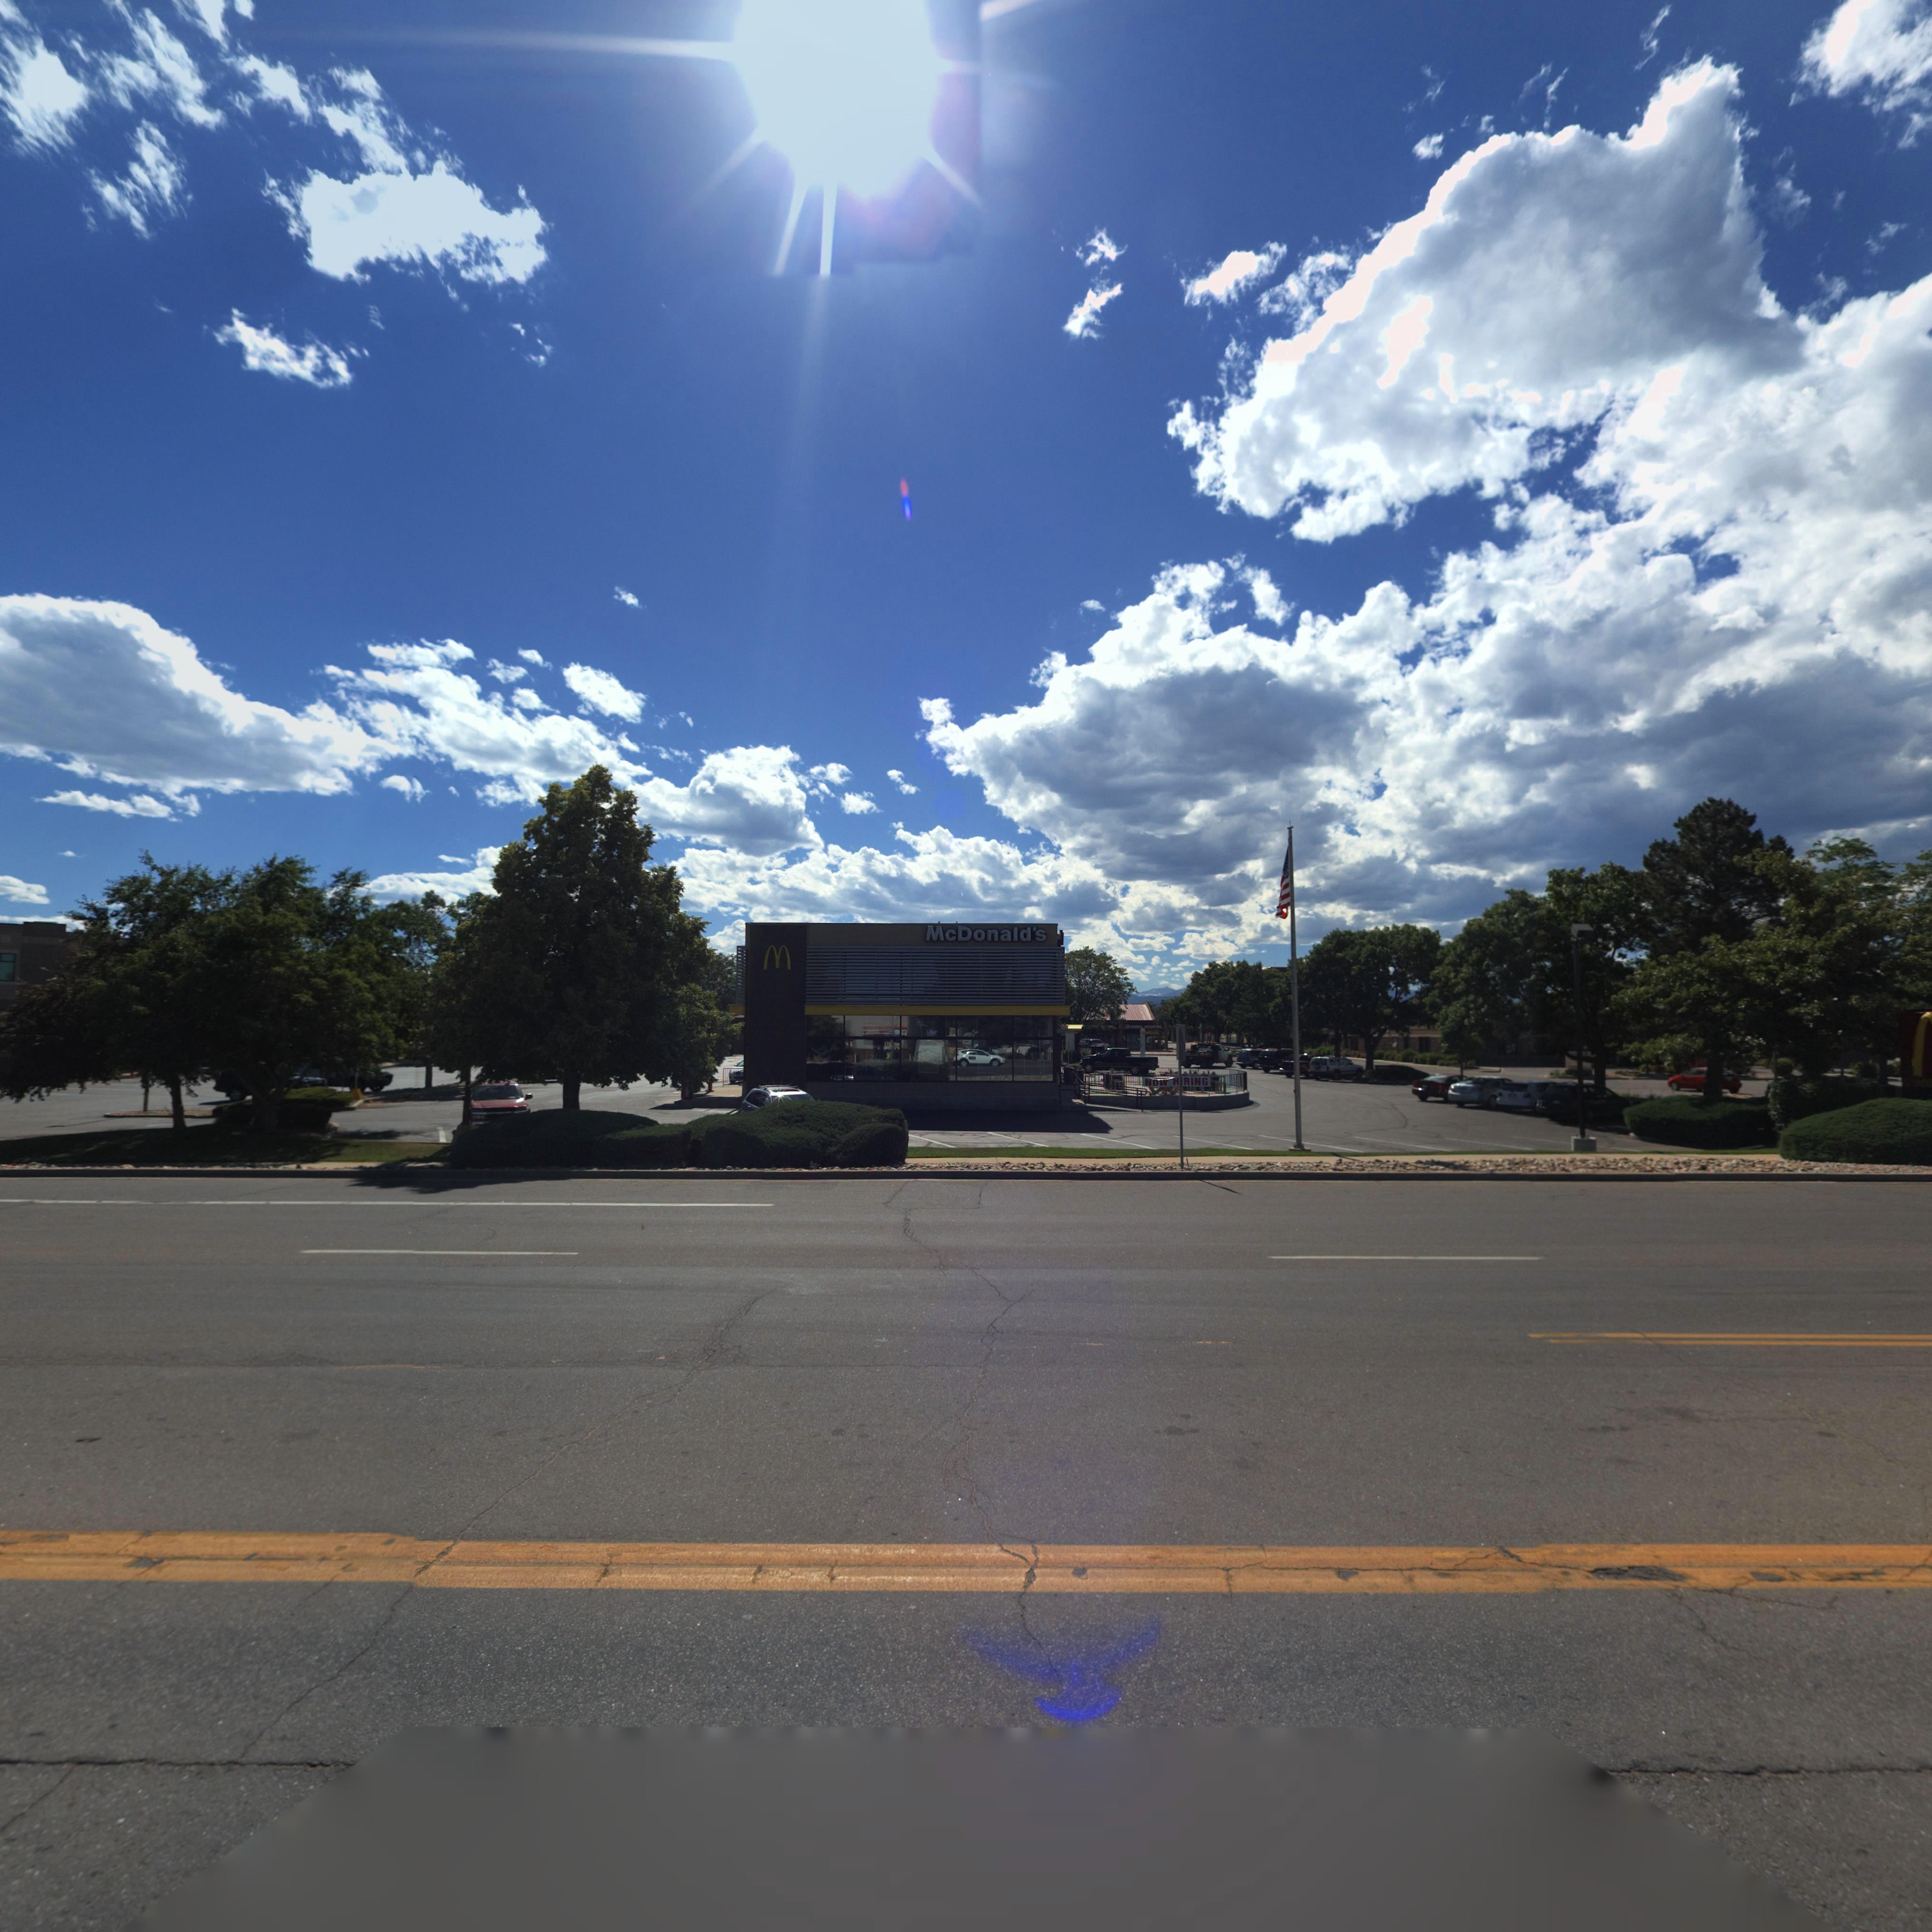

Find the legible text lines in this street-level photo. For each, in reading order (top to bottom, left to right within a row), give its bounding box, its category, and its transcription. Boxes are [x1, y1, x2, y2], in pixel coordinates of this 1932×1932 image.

[924, 926, 1047, 942] BusinessName: McDonald's